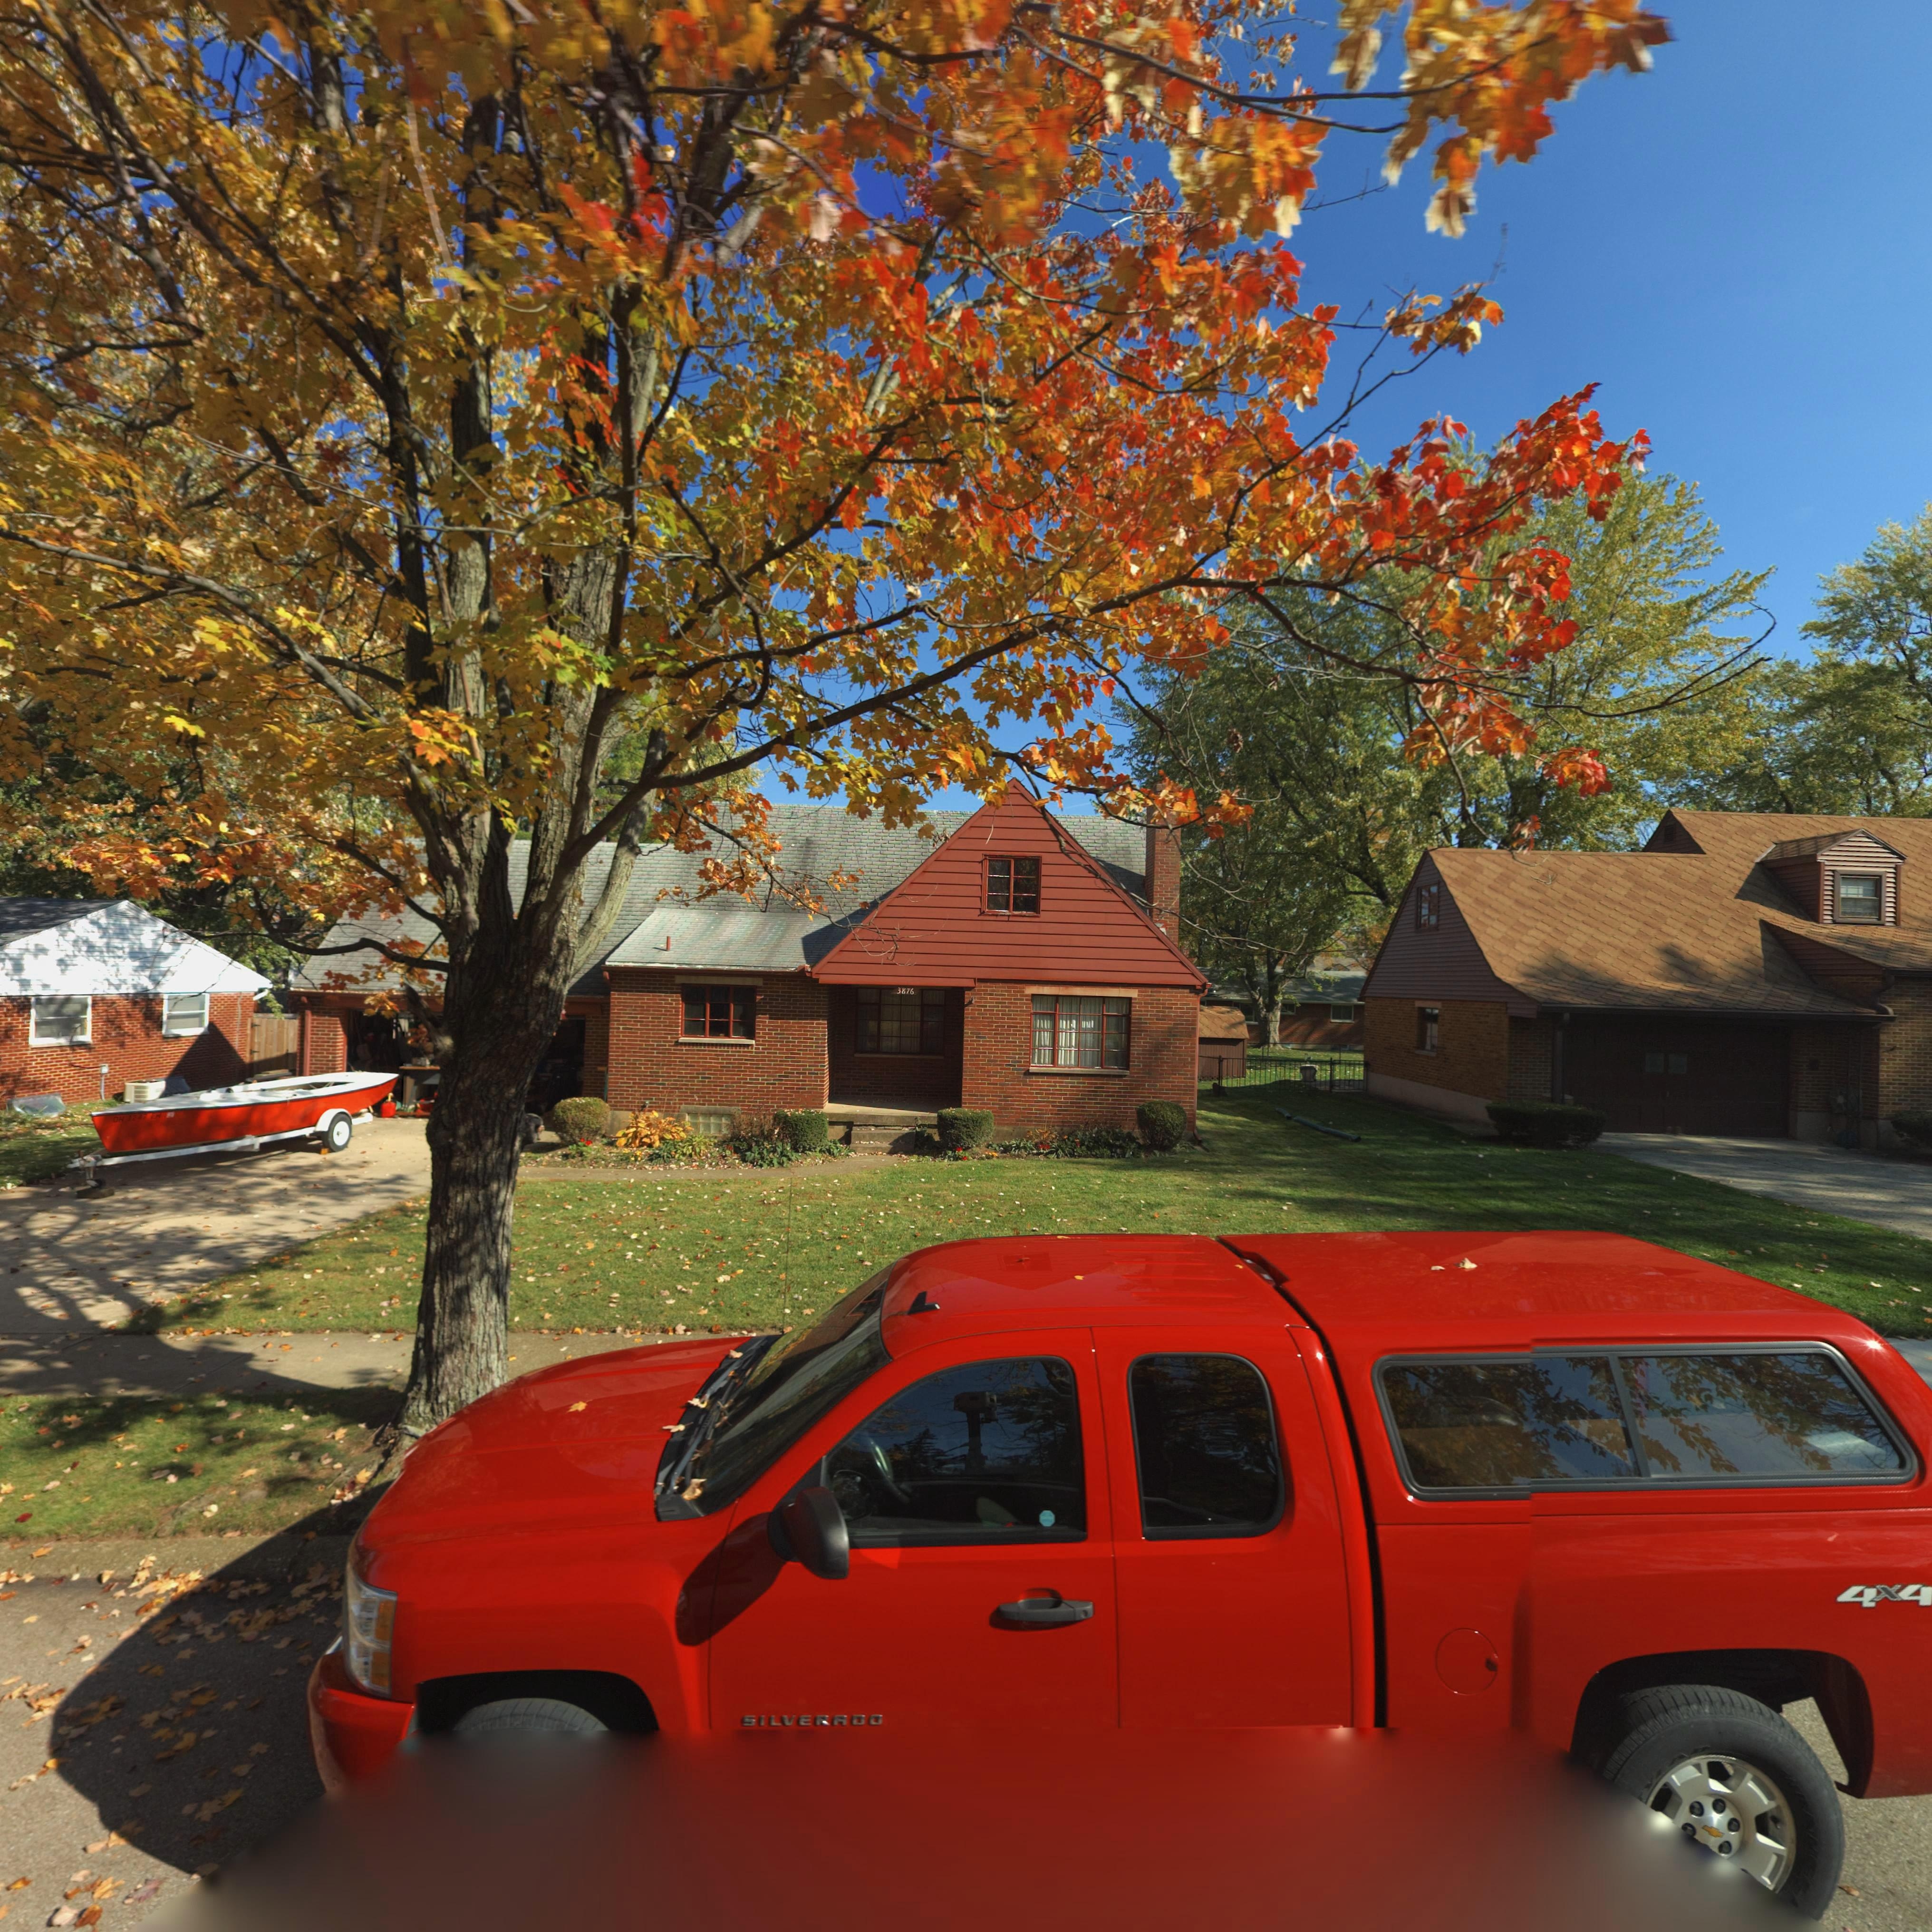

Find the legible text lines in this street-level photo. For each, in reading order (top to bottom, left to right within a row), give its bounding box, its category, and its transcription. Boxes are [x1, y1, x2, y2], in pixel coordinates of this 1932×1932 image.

[895, 986, 916, 995] StreetNumber: 3876
[111, 1112, 163, 1124] None: OH *2 47 E*
[1835, 1583, 1932, 1609] None: 4x4
[739, 1710, 885, 1729] None: SILVERRO*